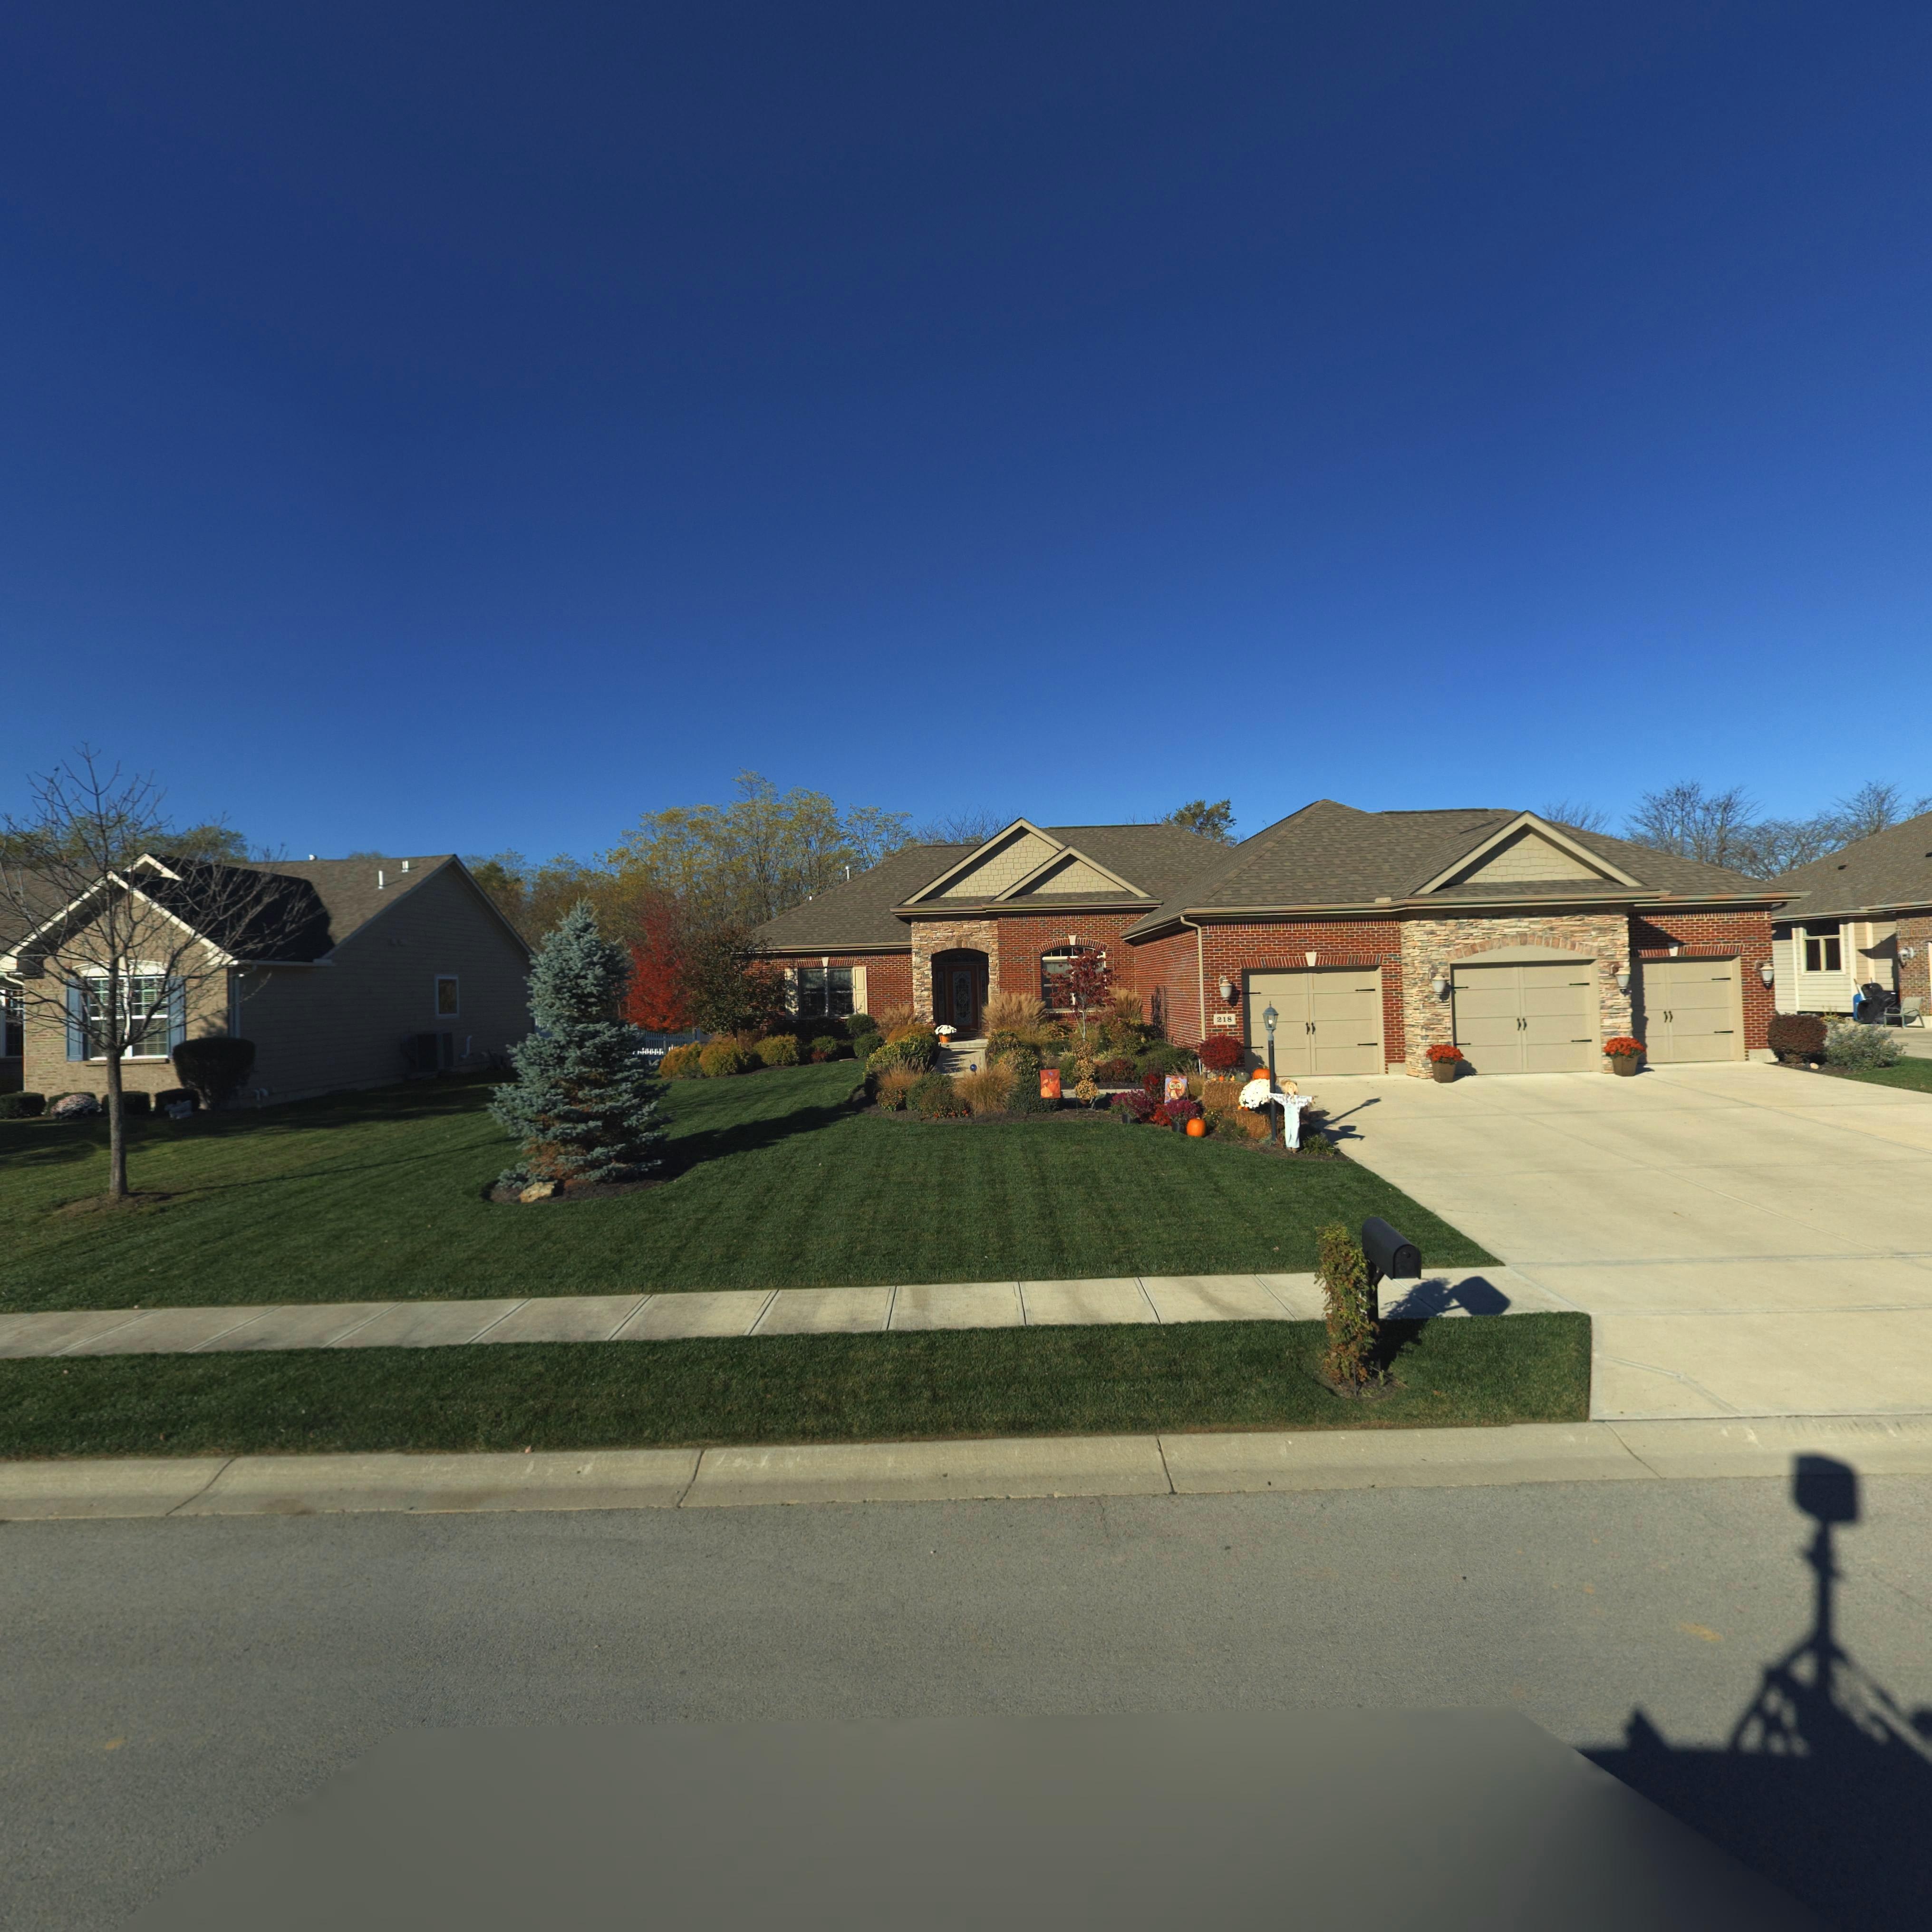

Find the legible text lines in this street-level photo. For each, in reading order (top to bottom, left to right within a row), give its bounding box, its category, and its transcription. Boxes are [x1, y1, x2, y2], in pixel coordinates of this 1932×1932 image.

[1216, 1015, 1233, 1023] StreetNumber: 218